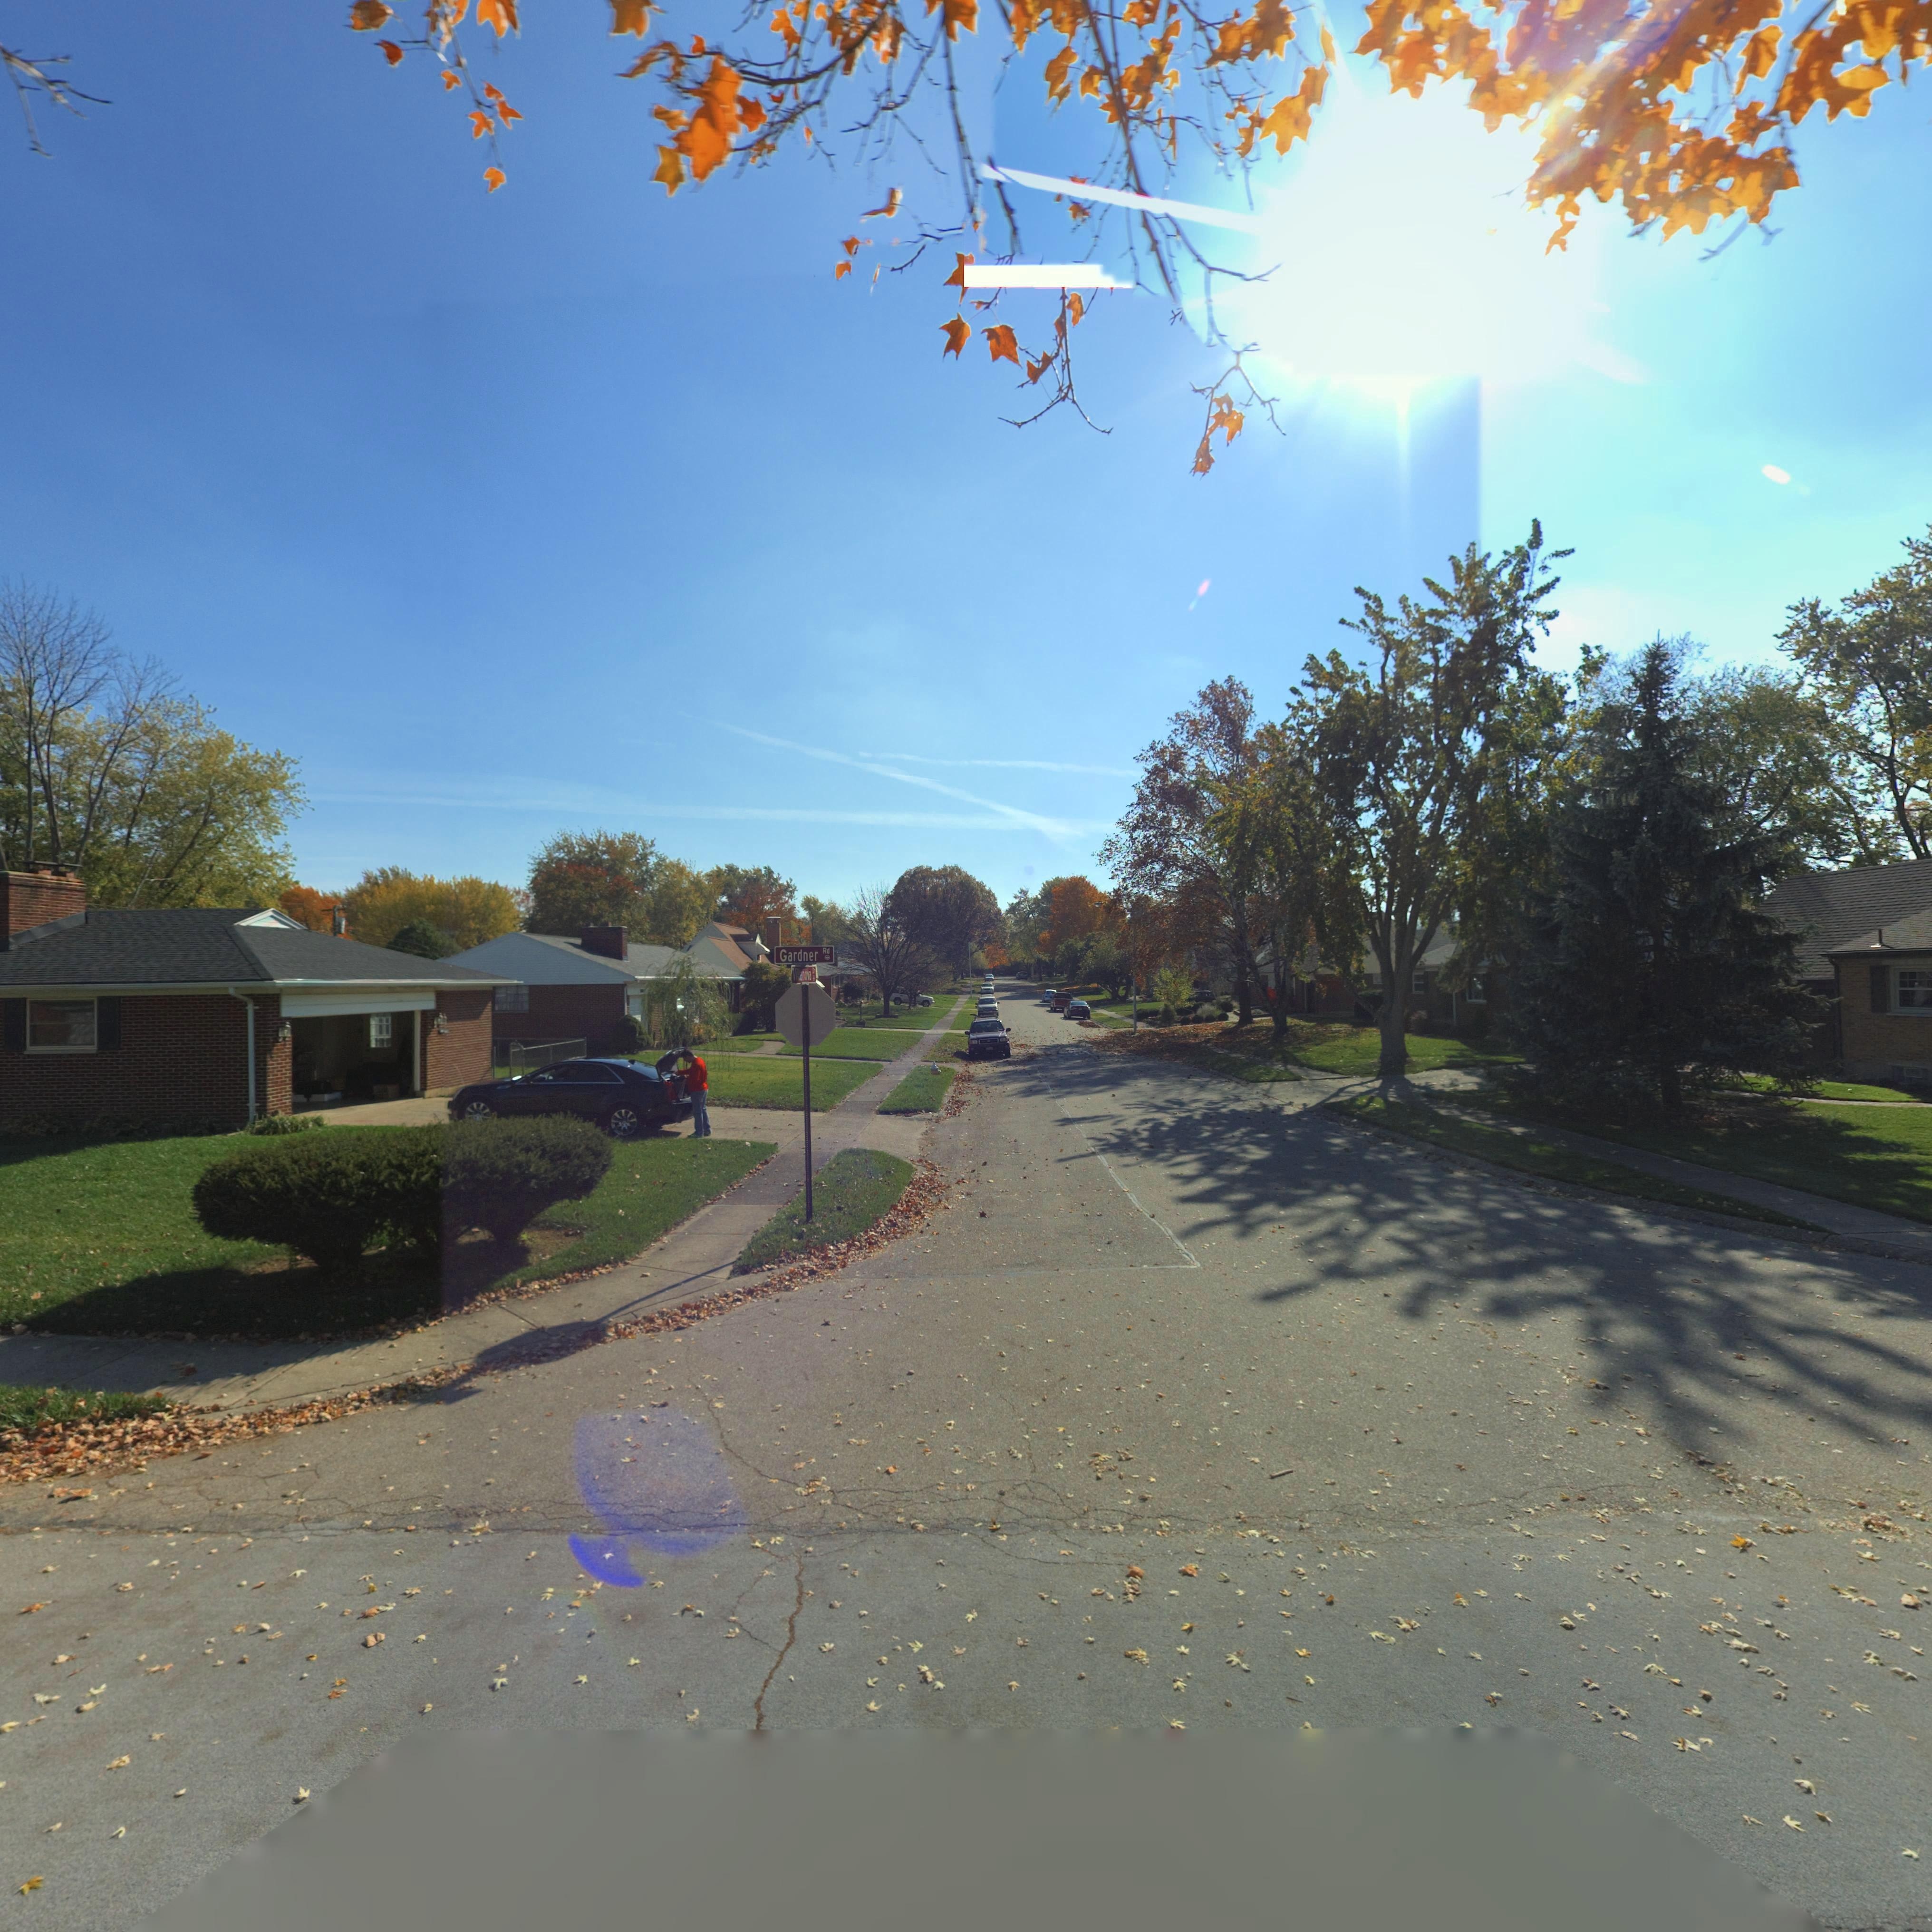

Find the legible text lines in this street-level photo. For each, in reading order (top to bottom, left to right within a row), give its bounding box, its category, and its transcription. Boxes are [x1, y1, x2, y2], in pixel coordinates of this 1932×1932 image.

[780, 947, 830, 962] StreetName: Gardner Rd
[792, 967, 815, 982] StreetName: Vill*nova Dr